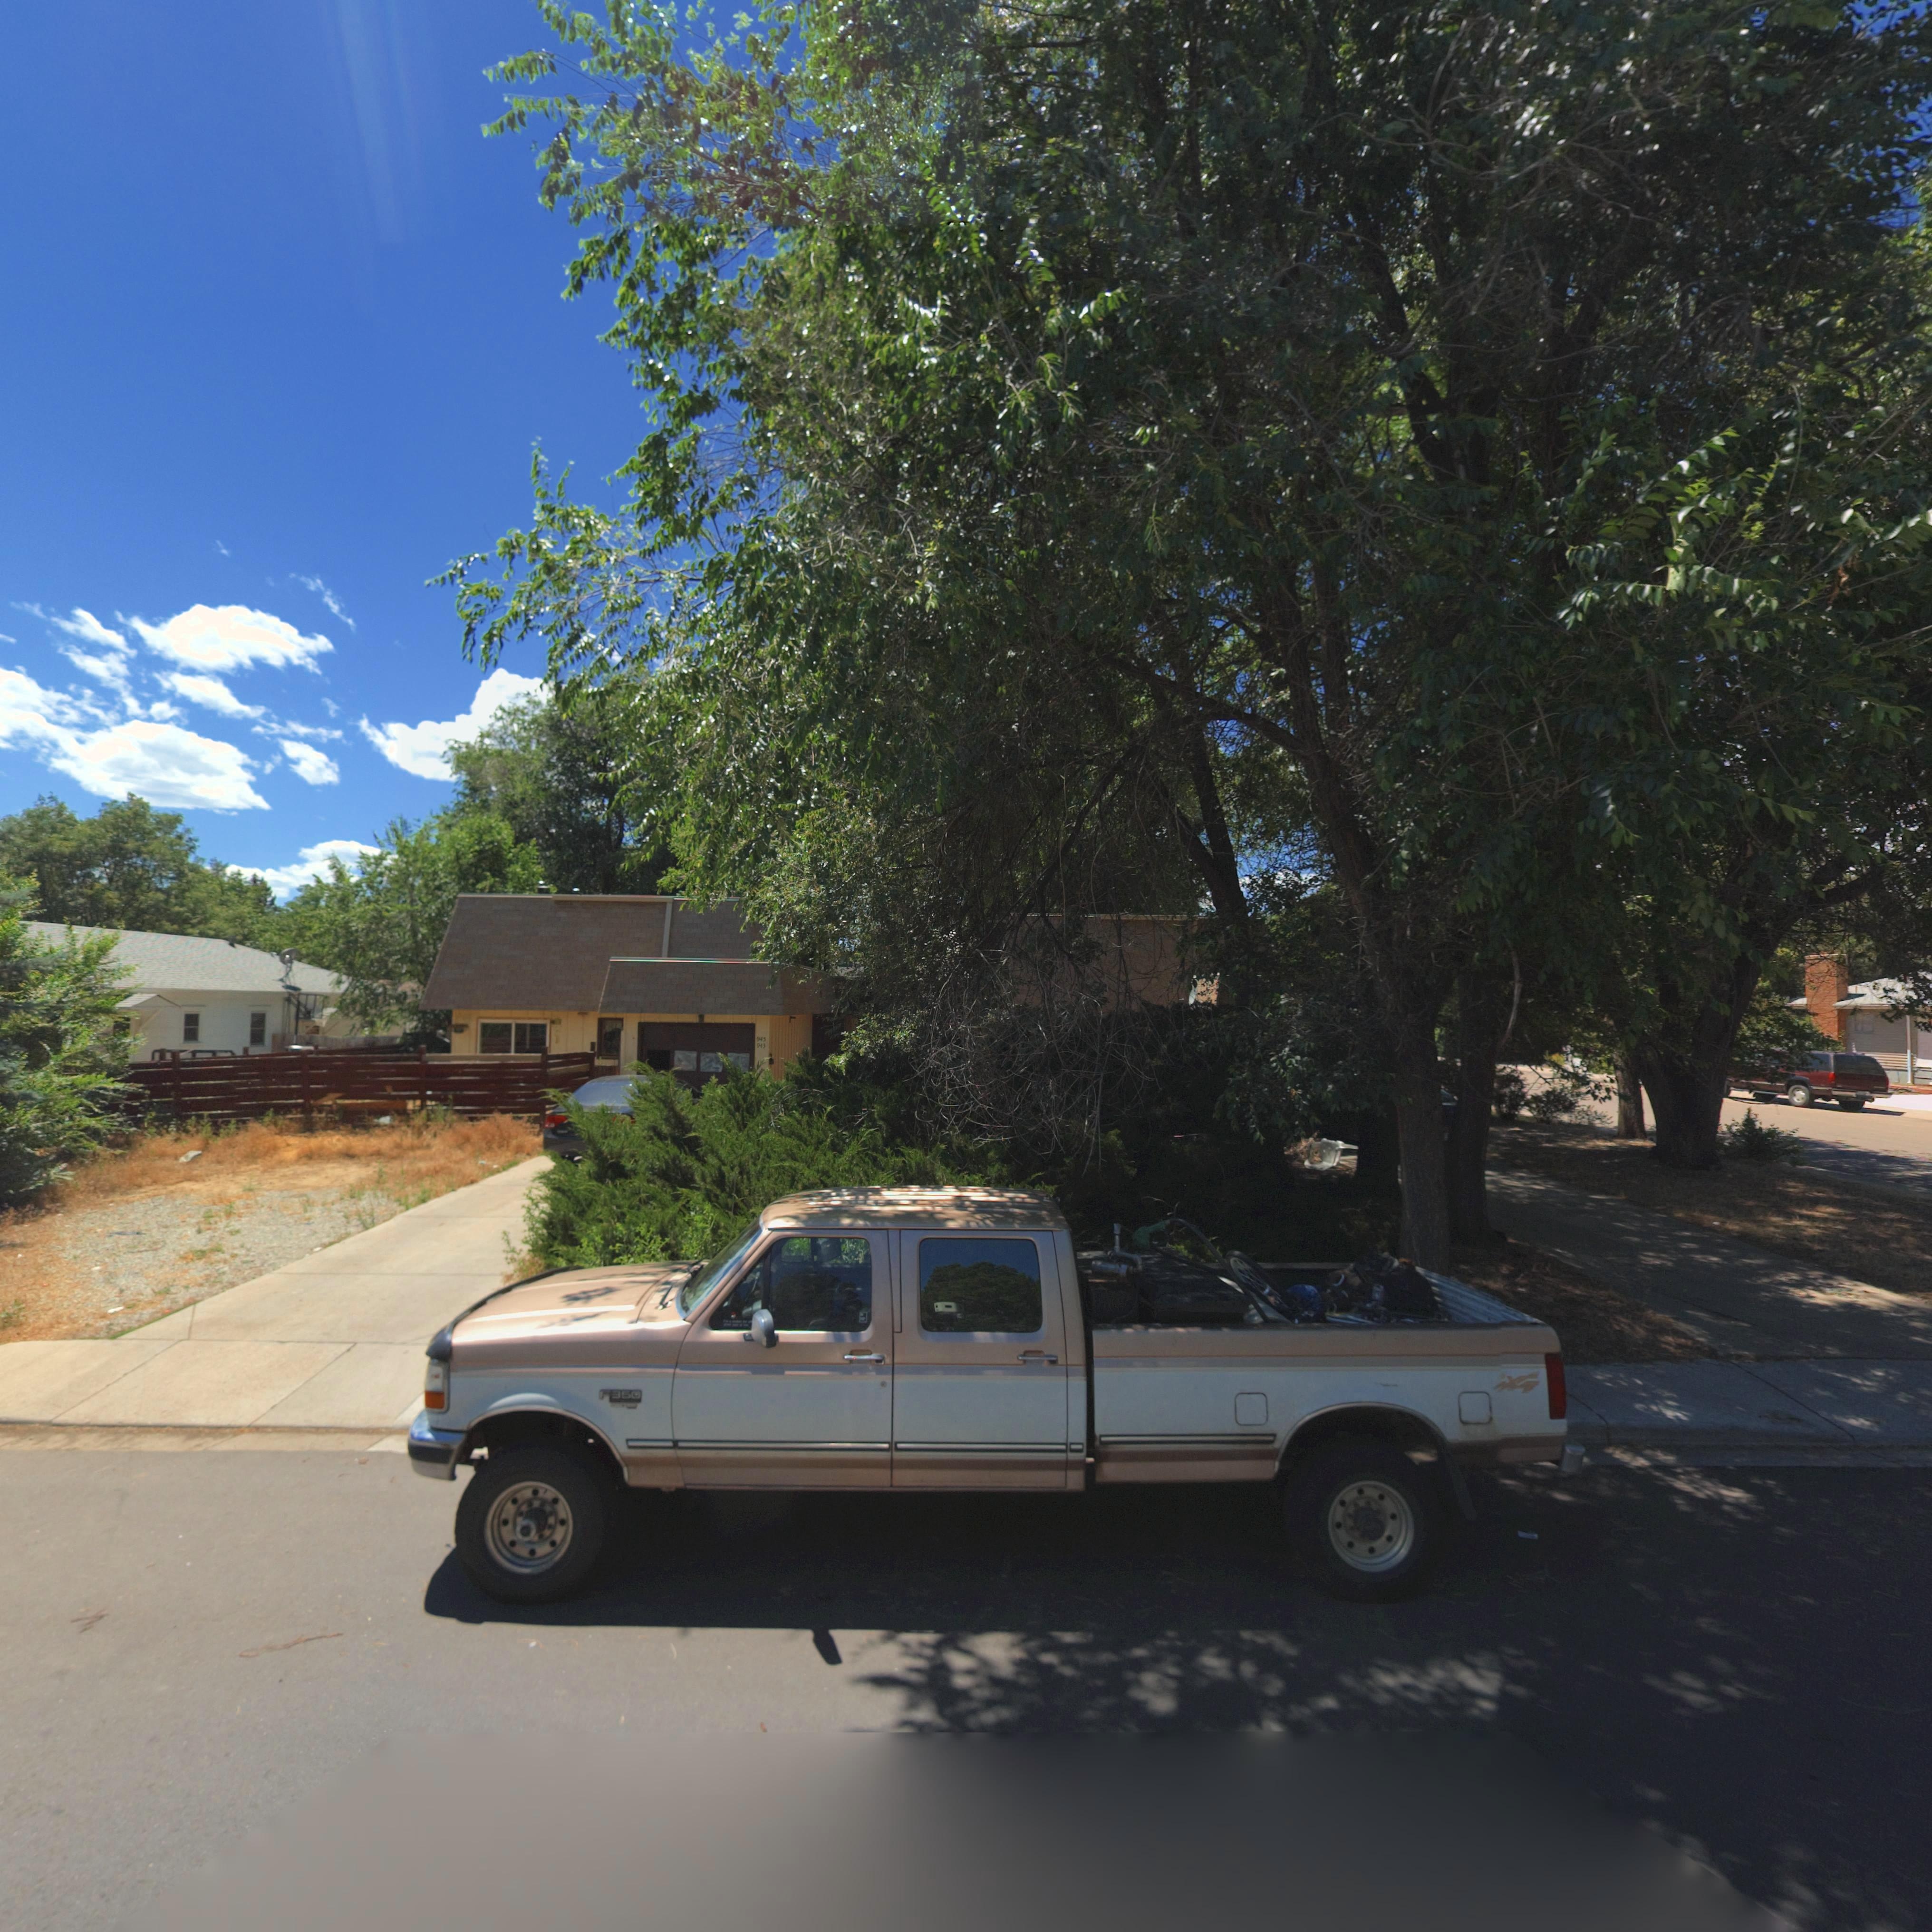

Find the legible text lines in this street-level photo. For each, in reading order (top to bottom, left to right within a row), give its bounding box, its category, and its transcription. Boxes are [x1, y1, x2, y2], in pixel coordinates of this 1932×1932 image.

[756, 1036, 766, 1042] StreetNumber: 94*
[756, 1043, 765, 1048] StreetNumber: 943